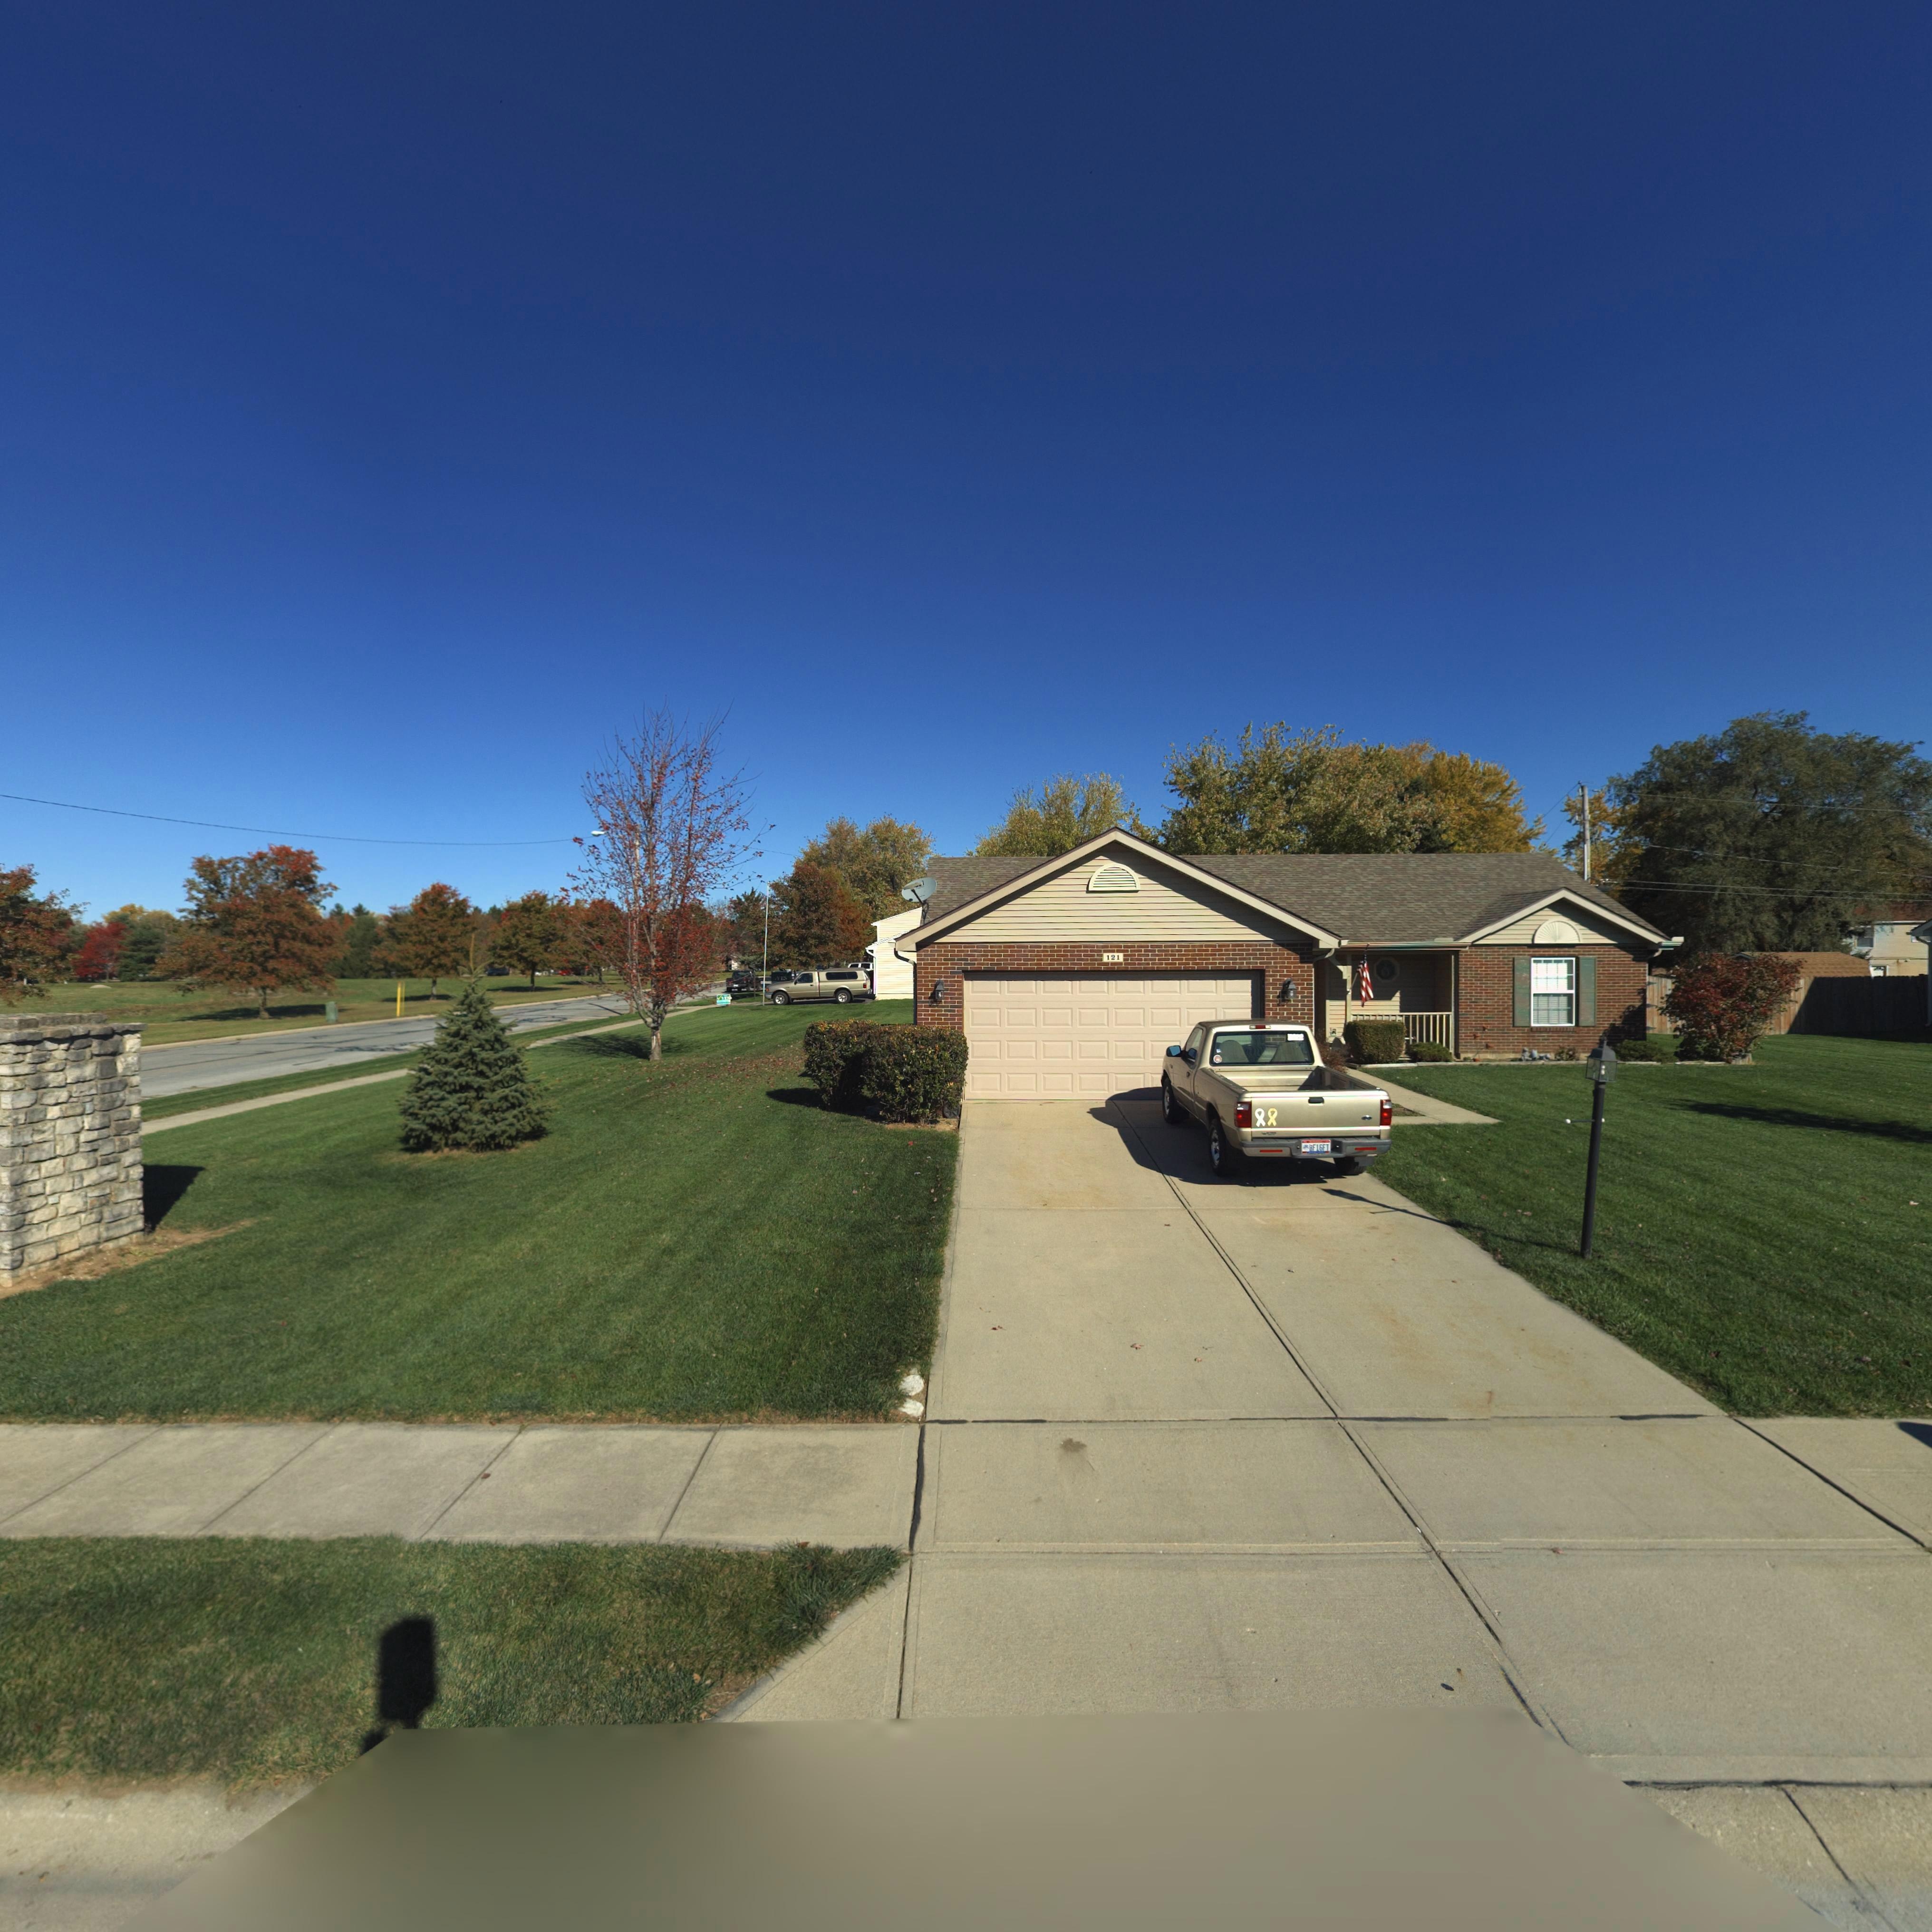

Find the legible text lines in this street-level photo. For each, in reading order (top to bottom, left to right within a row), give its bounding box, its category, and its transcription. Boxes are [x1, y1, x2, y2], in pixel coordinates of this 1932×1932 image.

[1106, 954, 1120, 961] StreetNumber: 121
[1306, 1143, 1329, 1152] None: BF16FT